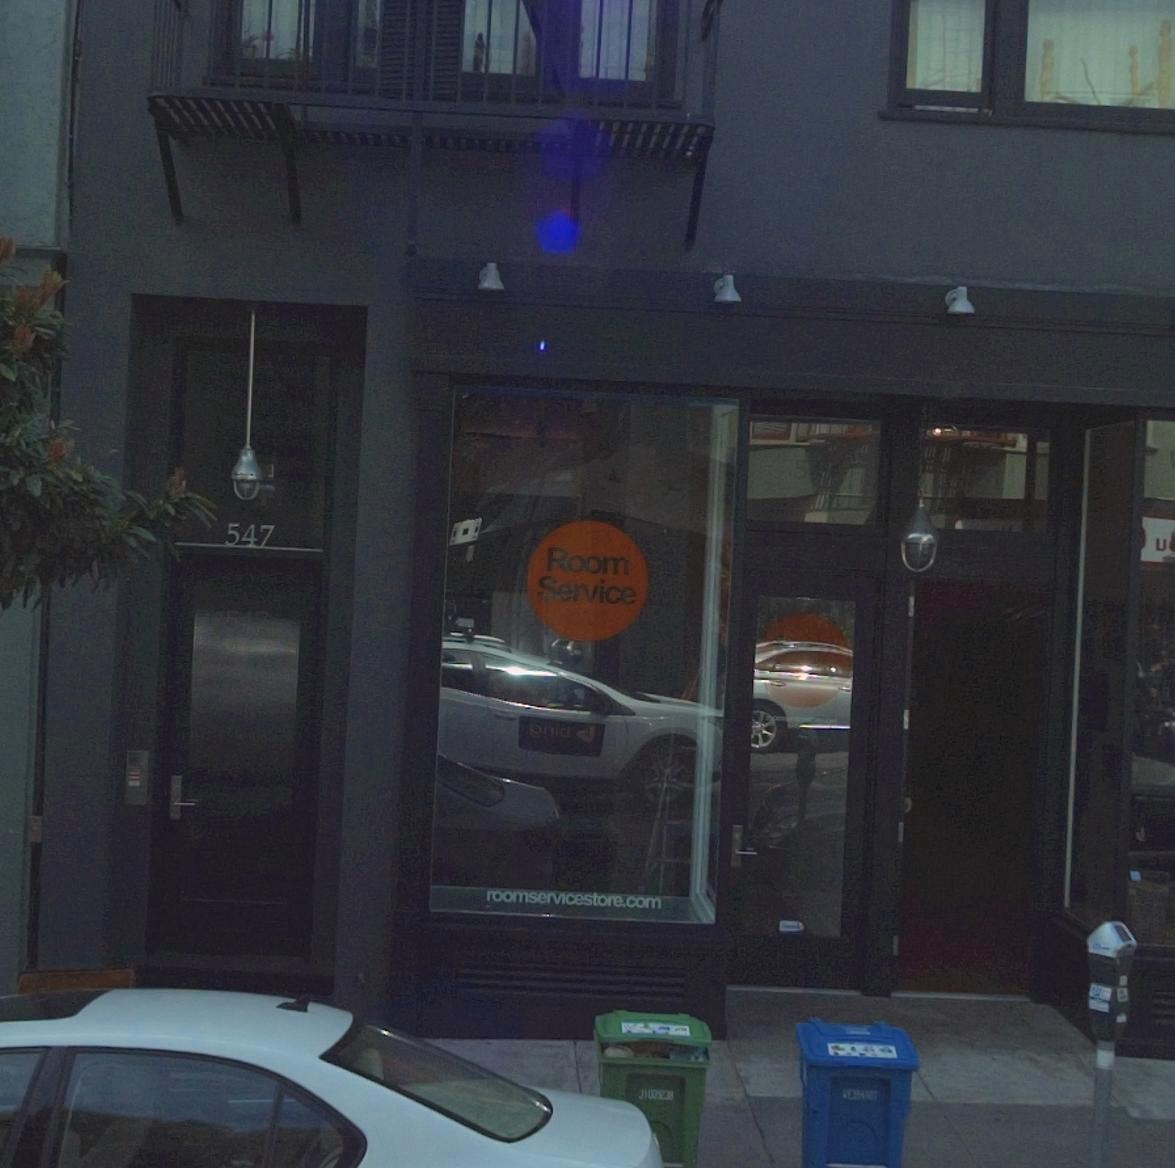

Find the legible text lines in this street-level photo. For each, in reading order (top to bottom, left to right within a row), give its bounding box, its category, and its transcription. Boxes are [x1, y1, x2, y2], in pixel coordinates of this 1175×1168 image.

[790, 454, 814, 483] StreetNumber: 5
[222, 521, 280, 551] StreetNumber: 547
[544, 543, 632, 578] BusinessName: Room
[1151, 534, 1169, 557] None: u
[535, 571, 641, 611] BusinessName: Service
[217, 606, 278, 643] StreetNumber: 547
[528, 719, 572, 742] None: **id
[484, 888, 665, 912] None: roomservicestore.com